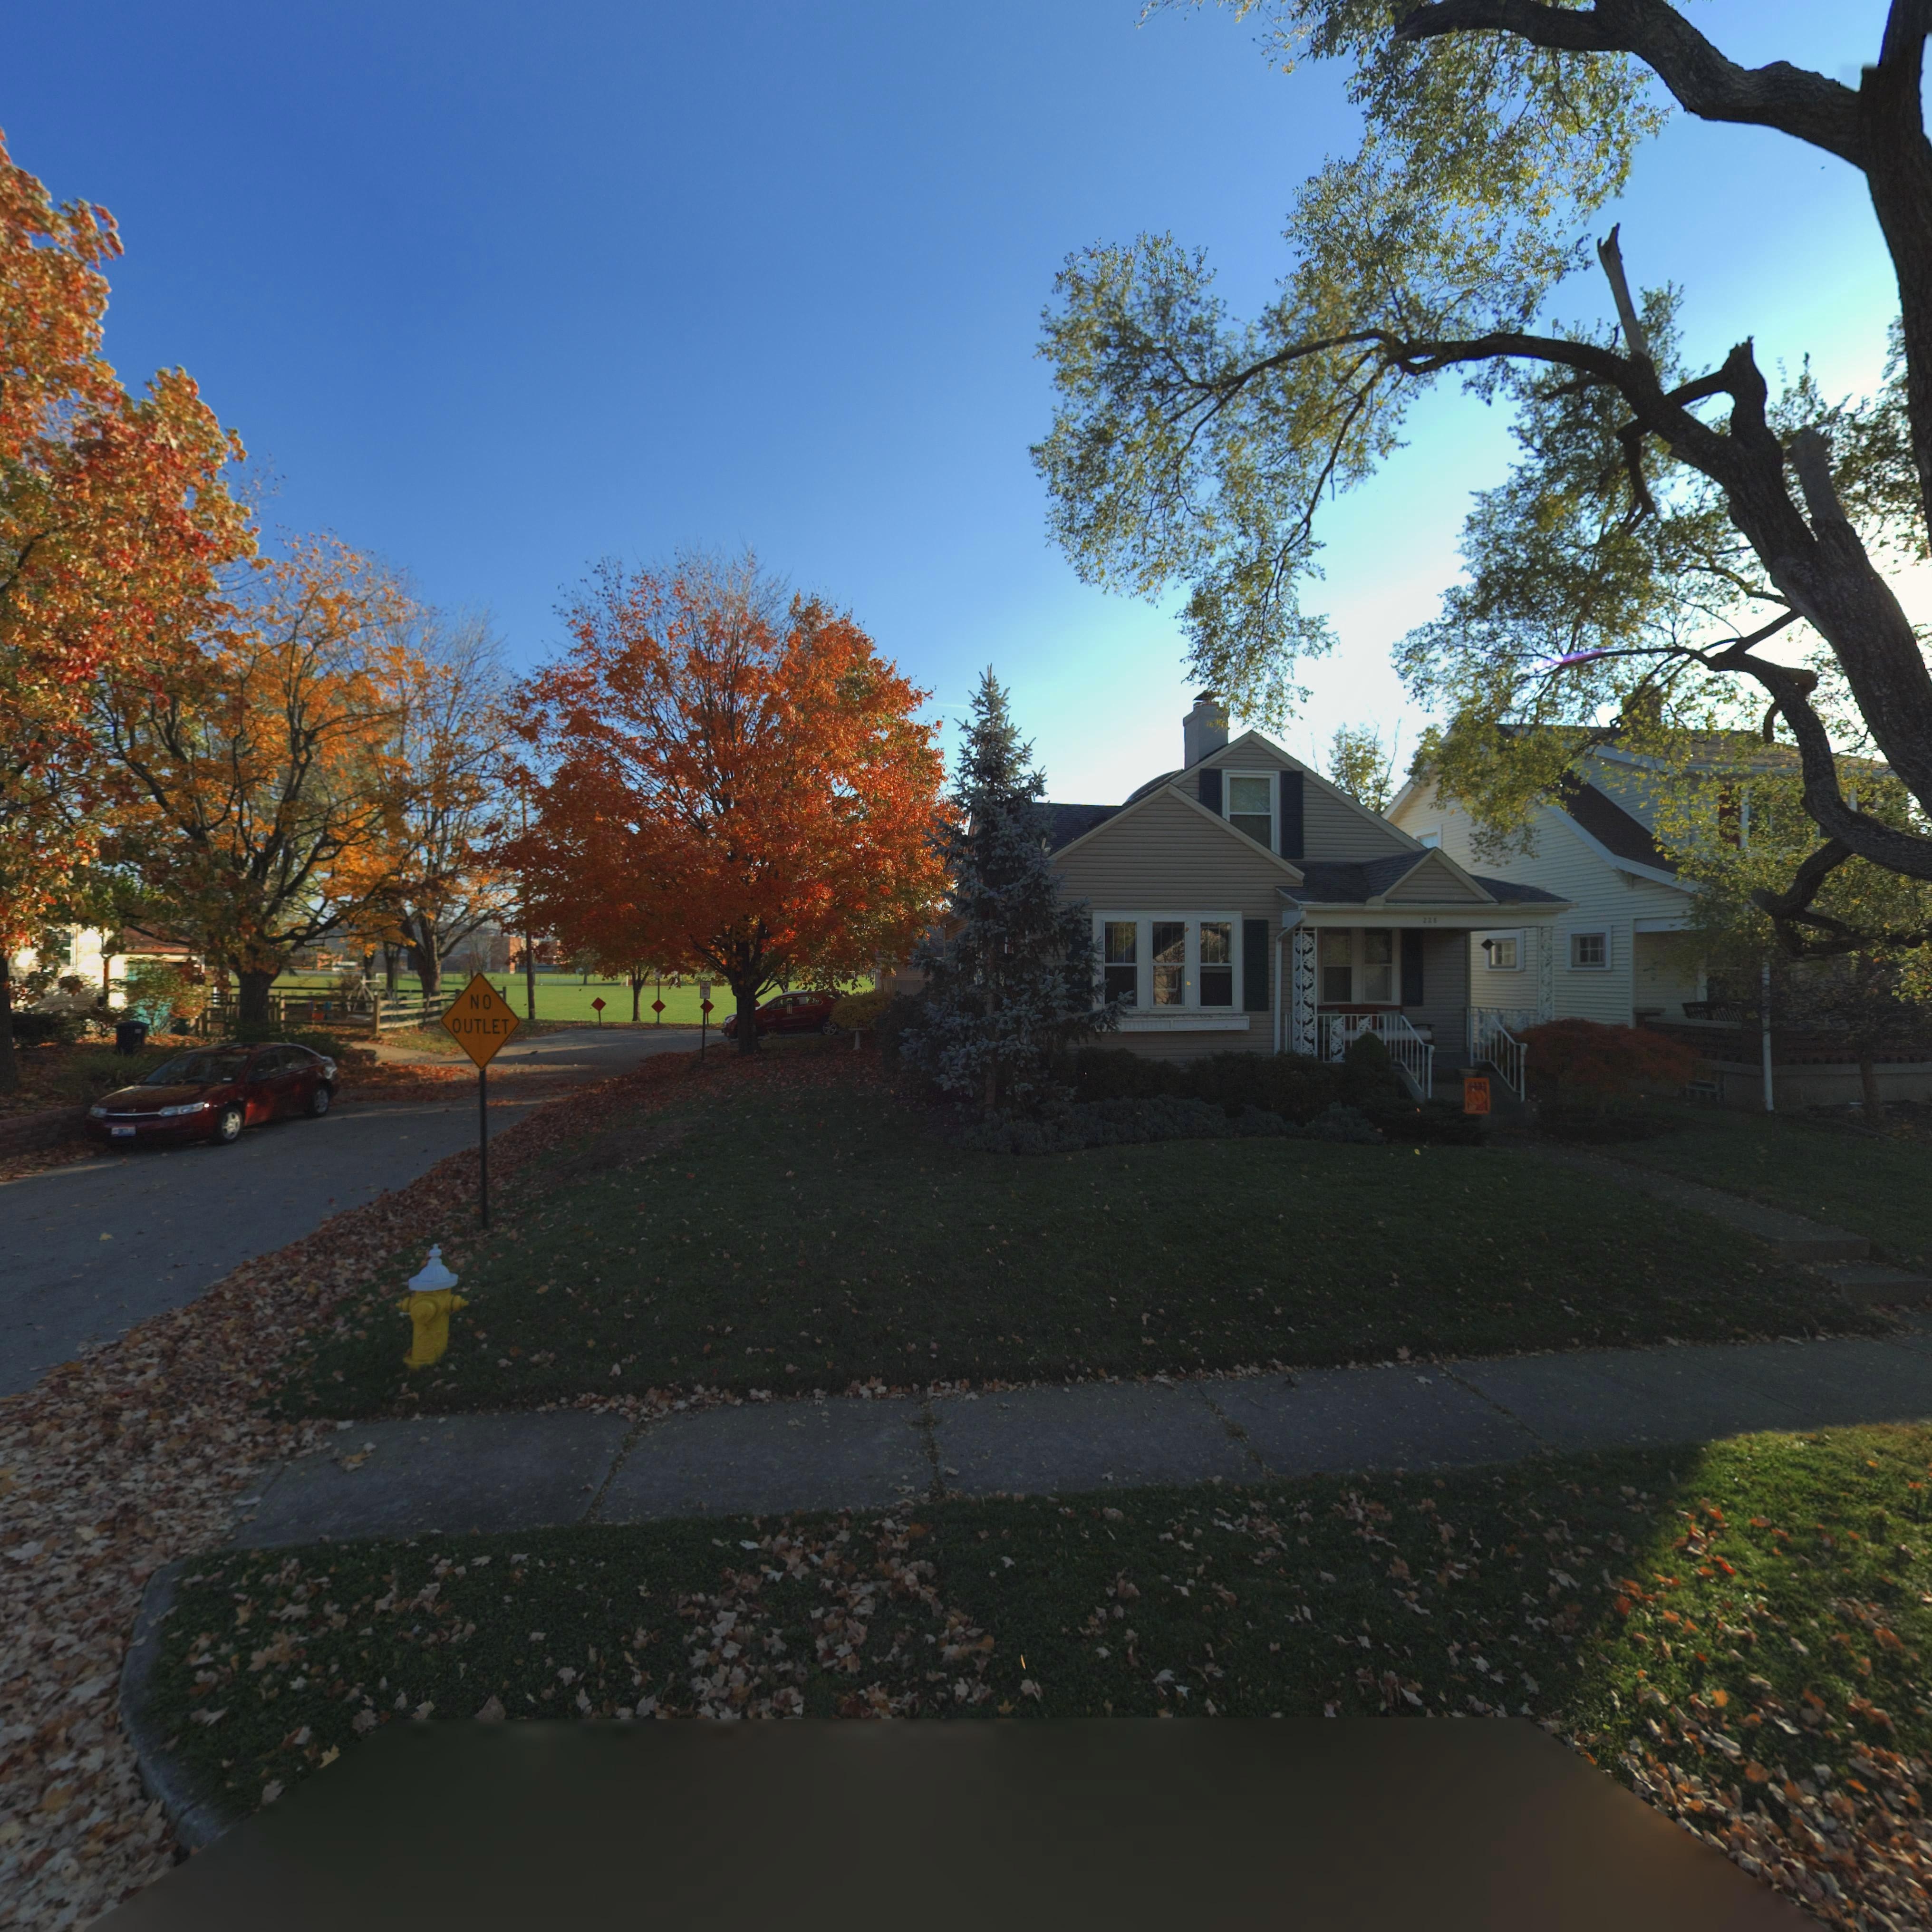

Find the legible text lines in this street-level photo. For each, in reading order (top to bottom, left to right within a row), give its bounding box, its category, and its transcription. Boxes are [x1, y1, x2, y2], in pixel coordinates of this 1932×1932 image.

[1422, 916, 1438, 924] StreetNumber: 228